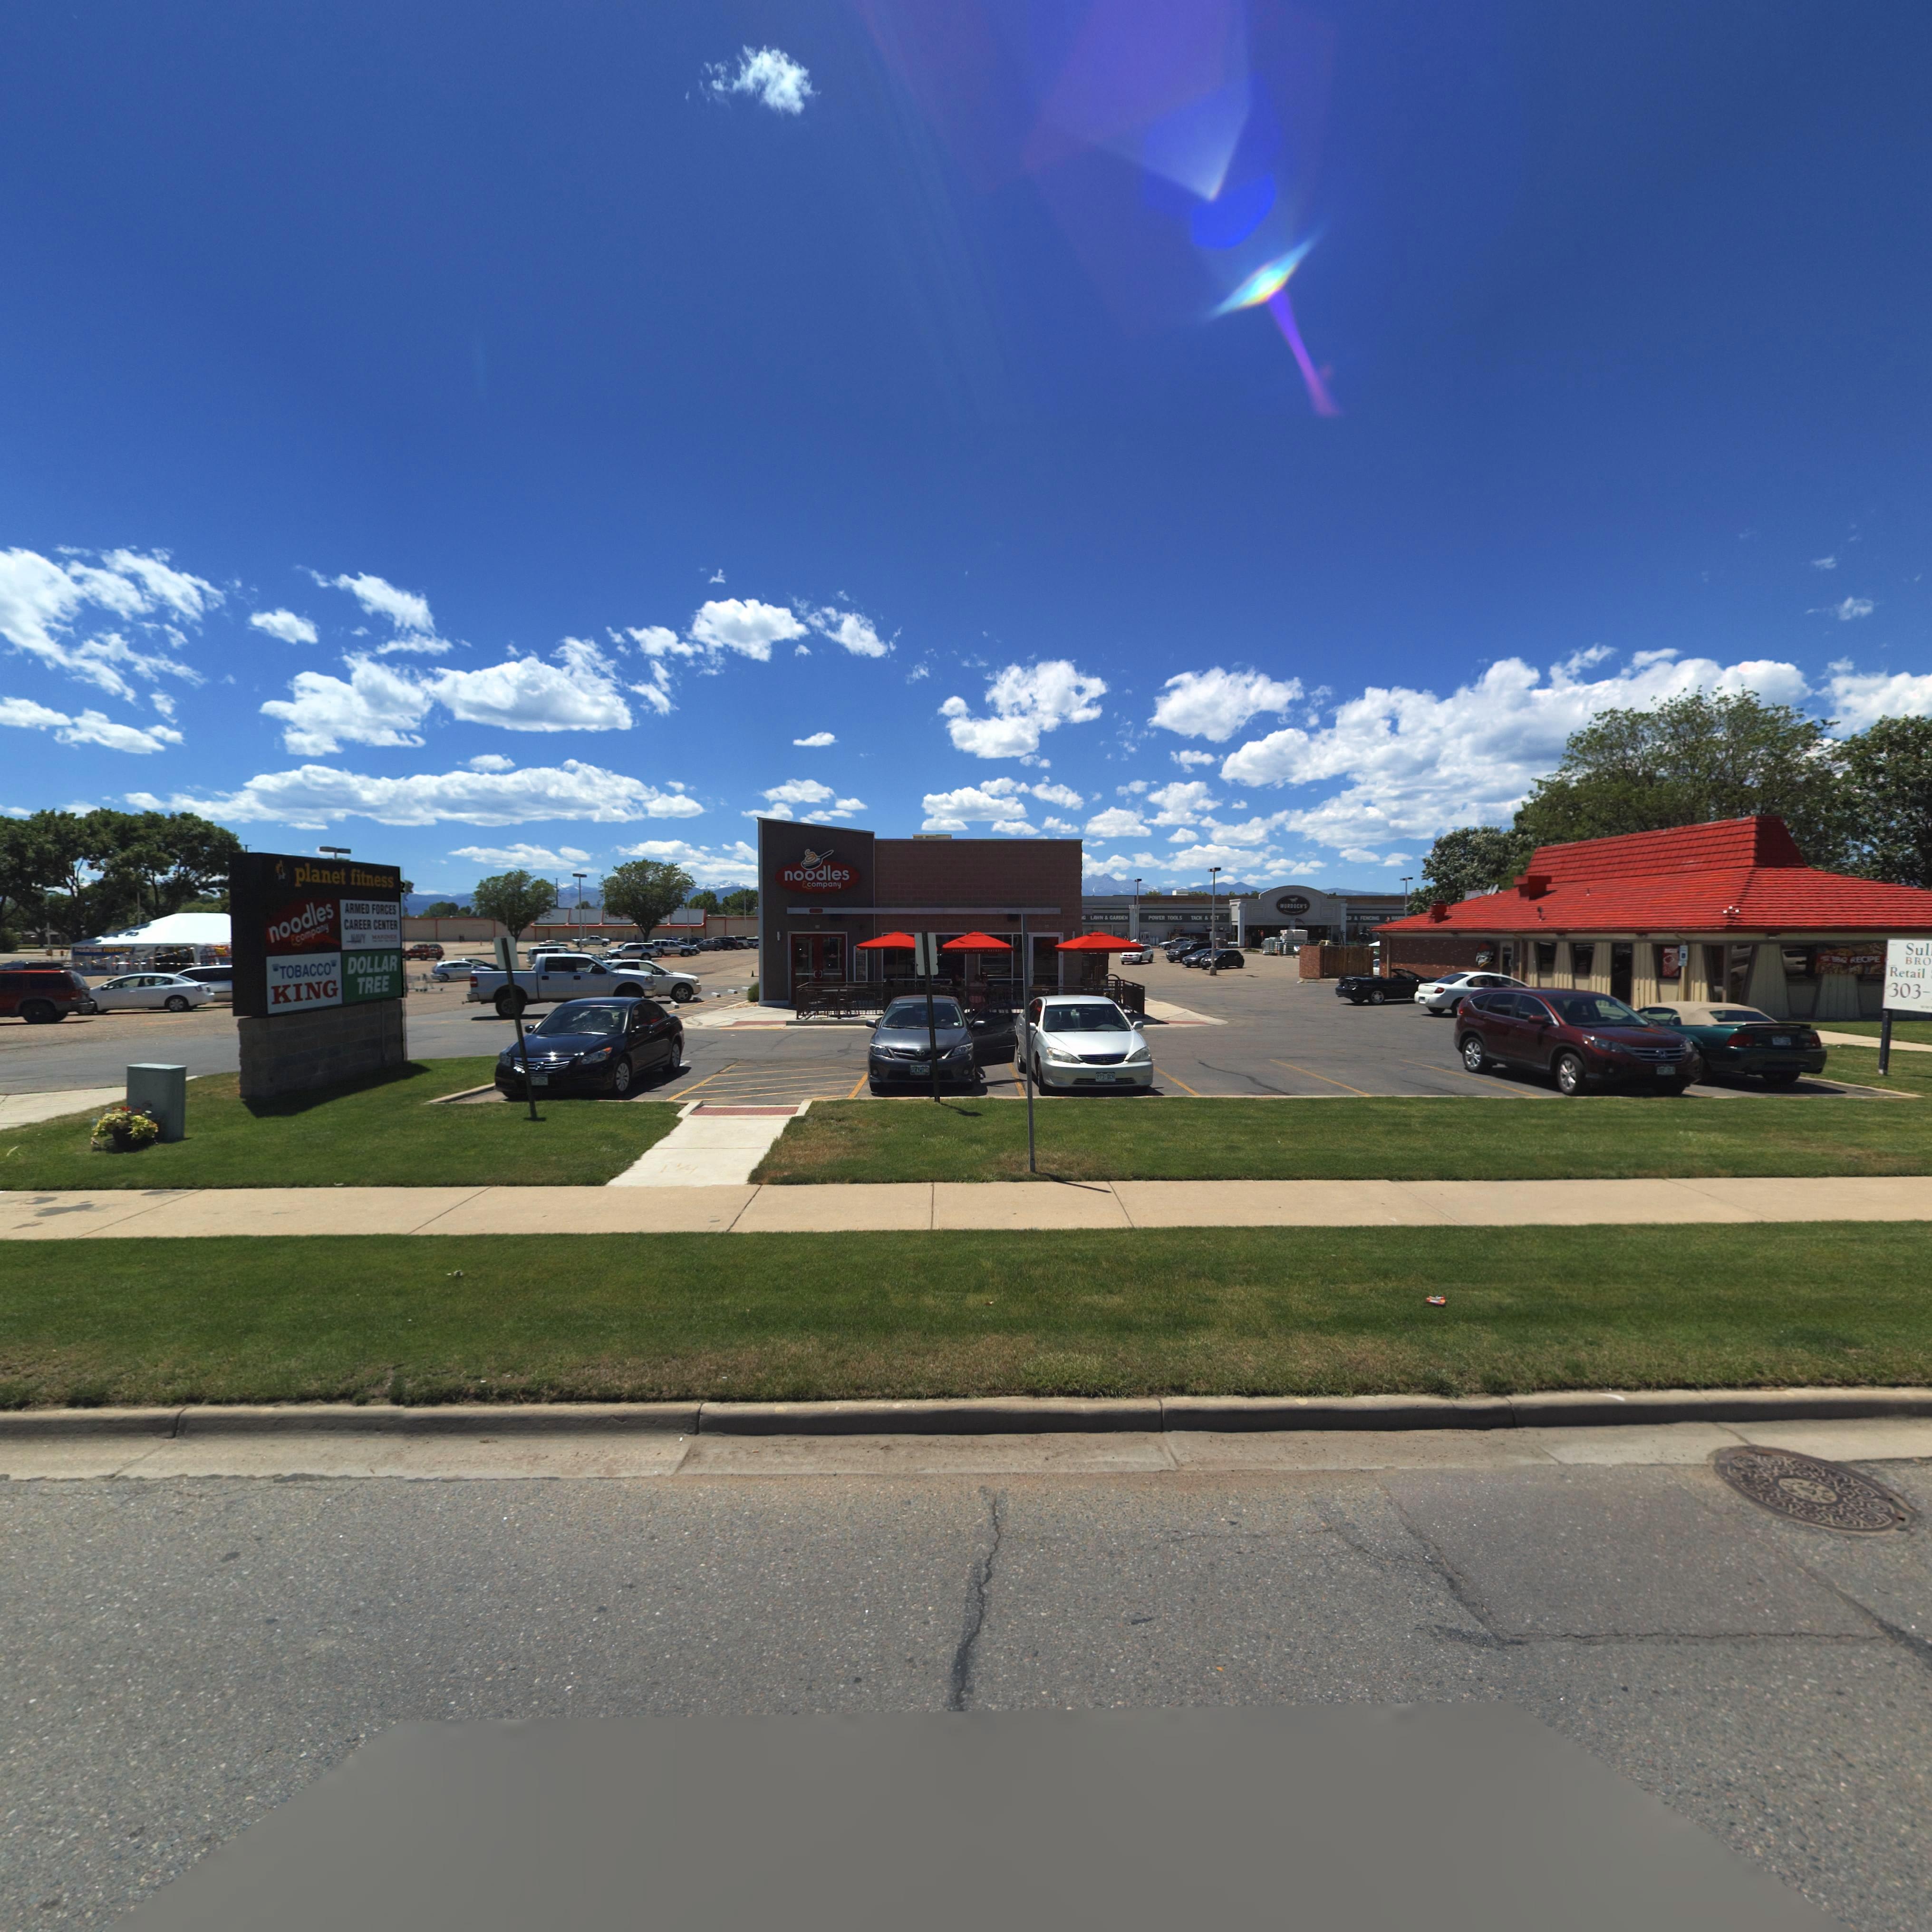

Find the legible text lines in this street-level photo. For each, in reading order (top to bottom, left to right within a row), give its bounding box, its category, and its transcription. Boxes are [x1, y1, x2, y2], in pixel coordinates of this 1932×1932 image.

[294, 862, 394, 888] BusinessName: planet fitness
[784, 864, 850, 881] BusinessName: noodles
[807, 882, 841, 889] BusinessName: company
[1280, 903, 1306, 908] BusinessName: **RDOCH*S
[268, 901, 334, 943] BusinessName: noodles
[295, 923, 329, 943] BusinessName: comp*ny
[344, 918, 398, 930] BusinessName: CAREER CENTER
[279, 962, 331, 979] BusinessName: TOBACCO
[347, 954, 397, 975] BusinessName: DOLLAR
[1475, 951, 1489, 962] BusinessName: P*z**
[1478, 956, 1488, 965] BusinessName: H**
[270, 979, 339, 1005] BusinessName: KING
[357, 975, 390, 995] BusinessName: TREE